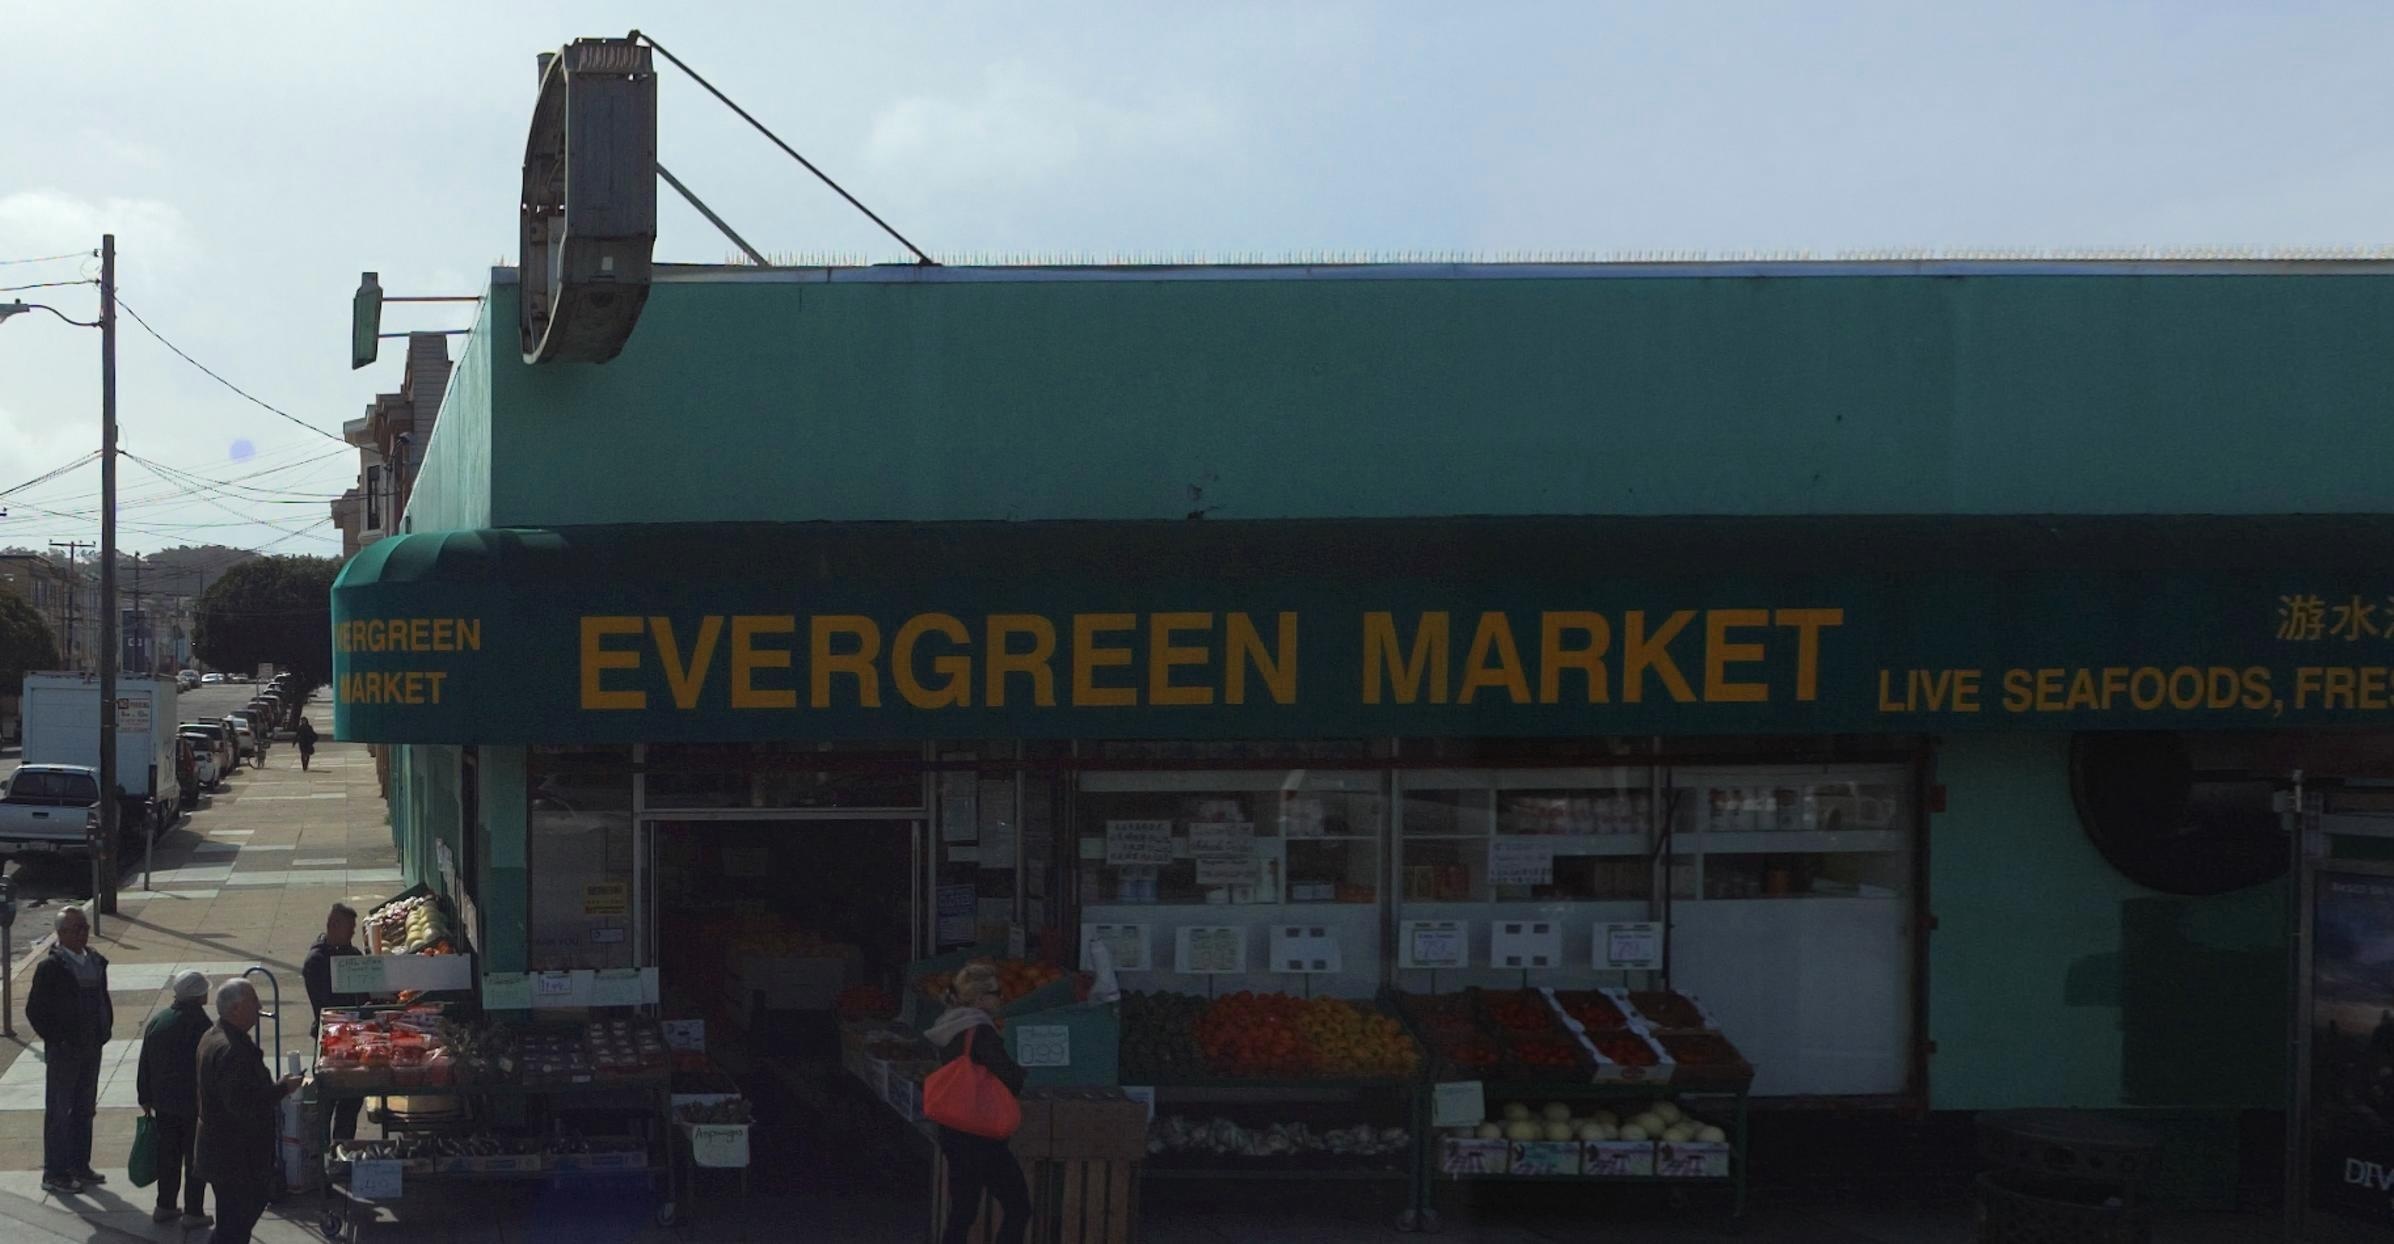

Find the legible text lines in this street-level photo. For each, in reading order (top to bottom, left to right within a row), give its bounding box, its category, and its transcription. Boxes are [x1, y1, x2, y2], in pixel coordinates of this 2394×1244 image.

[335, 616, 484, 658] BusinessName: ERGREEN
[576, 604, 1848, 714] BusinessName: EVERGREEN MARKET
[335, 669, 451, 709] BusinessName: MARKET
[1874, 663, 2390, 722] None: LIVE SEAFOODS, FRE
[2340, 1153, 2380, 1192] None: DI